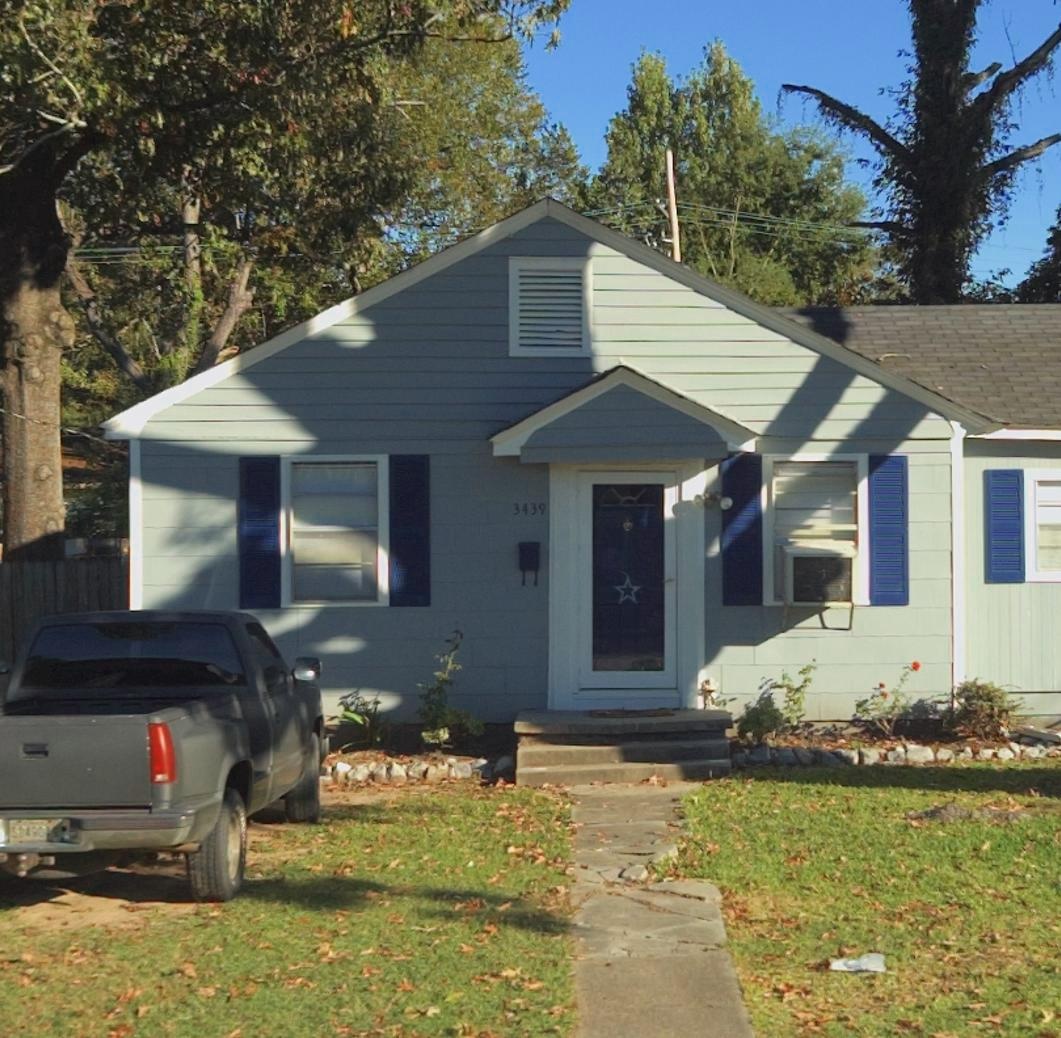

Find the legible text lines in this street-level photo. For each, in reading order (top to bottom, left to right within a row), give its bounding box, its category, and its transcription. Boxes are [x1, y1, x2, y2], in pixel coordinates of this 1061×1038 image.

[513, 502, 547, 515] StreetNumber: 3439